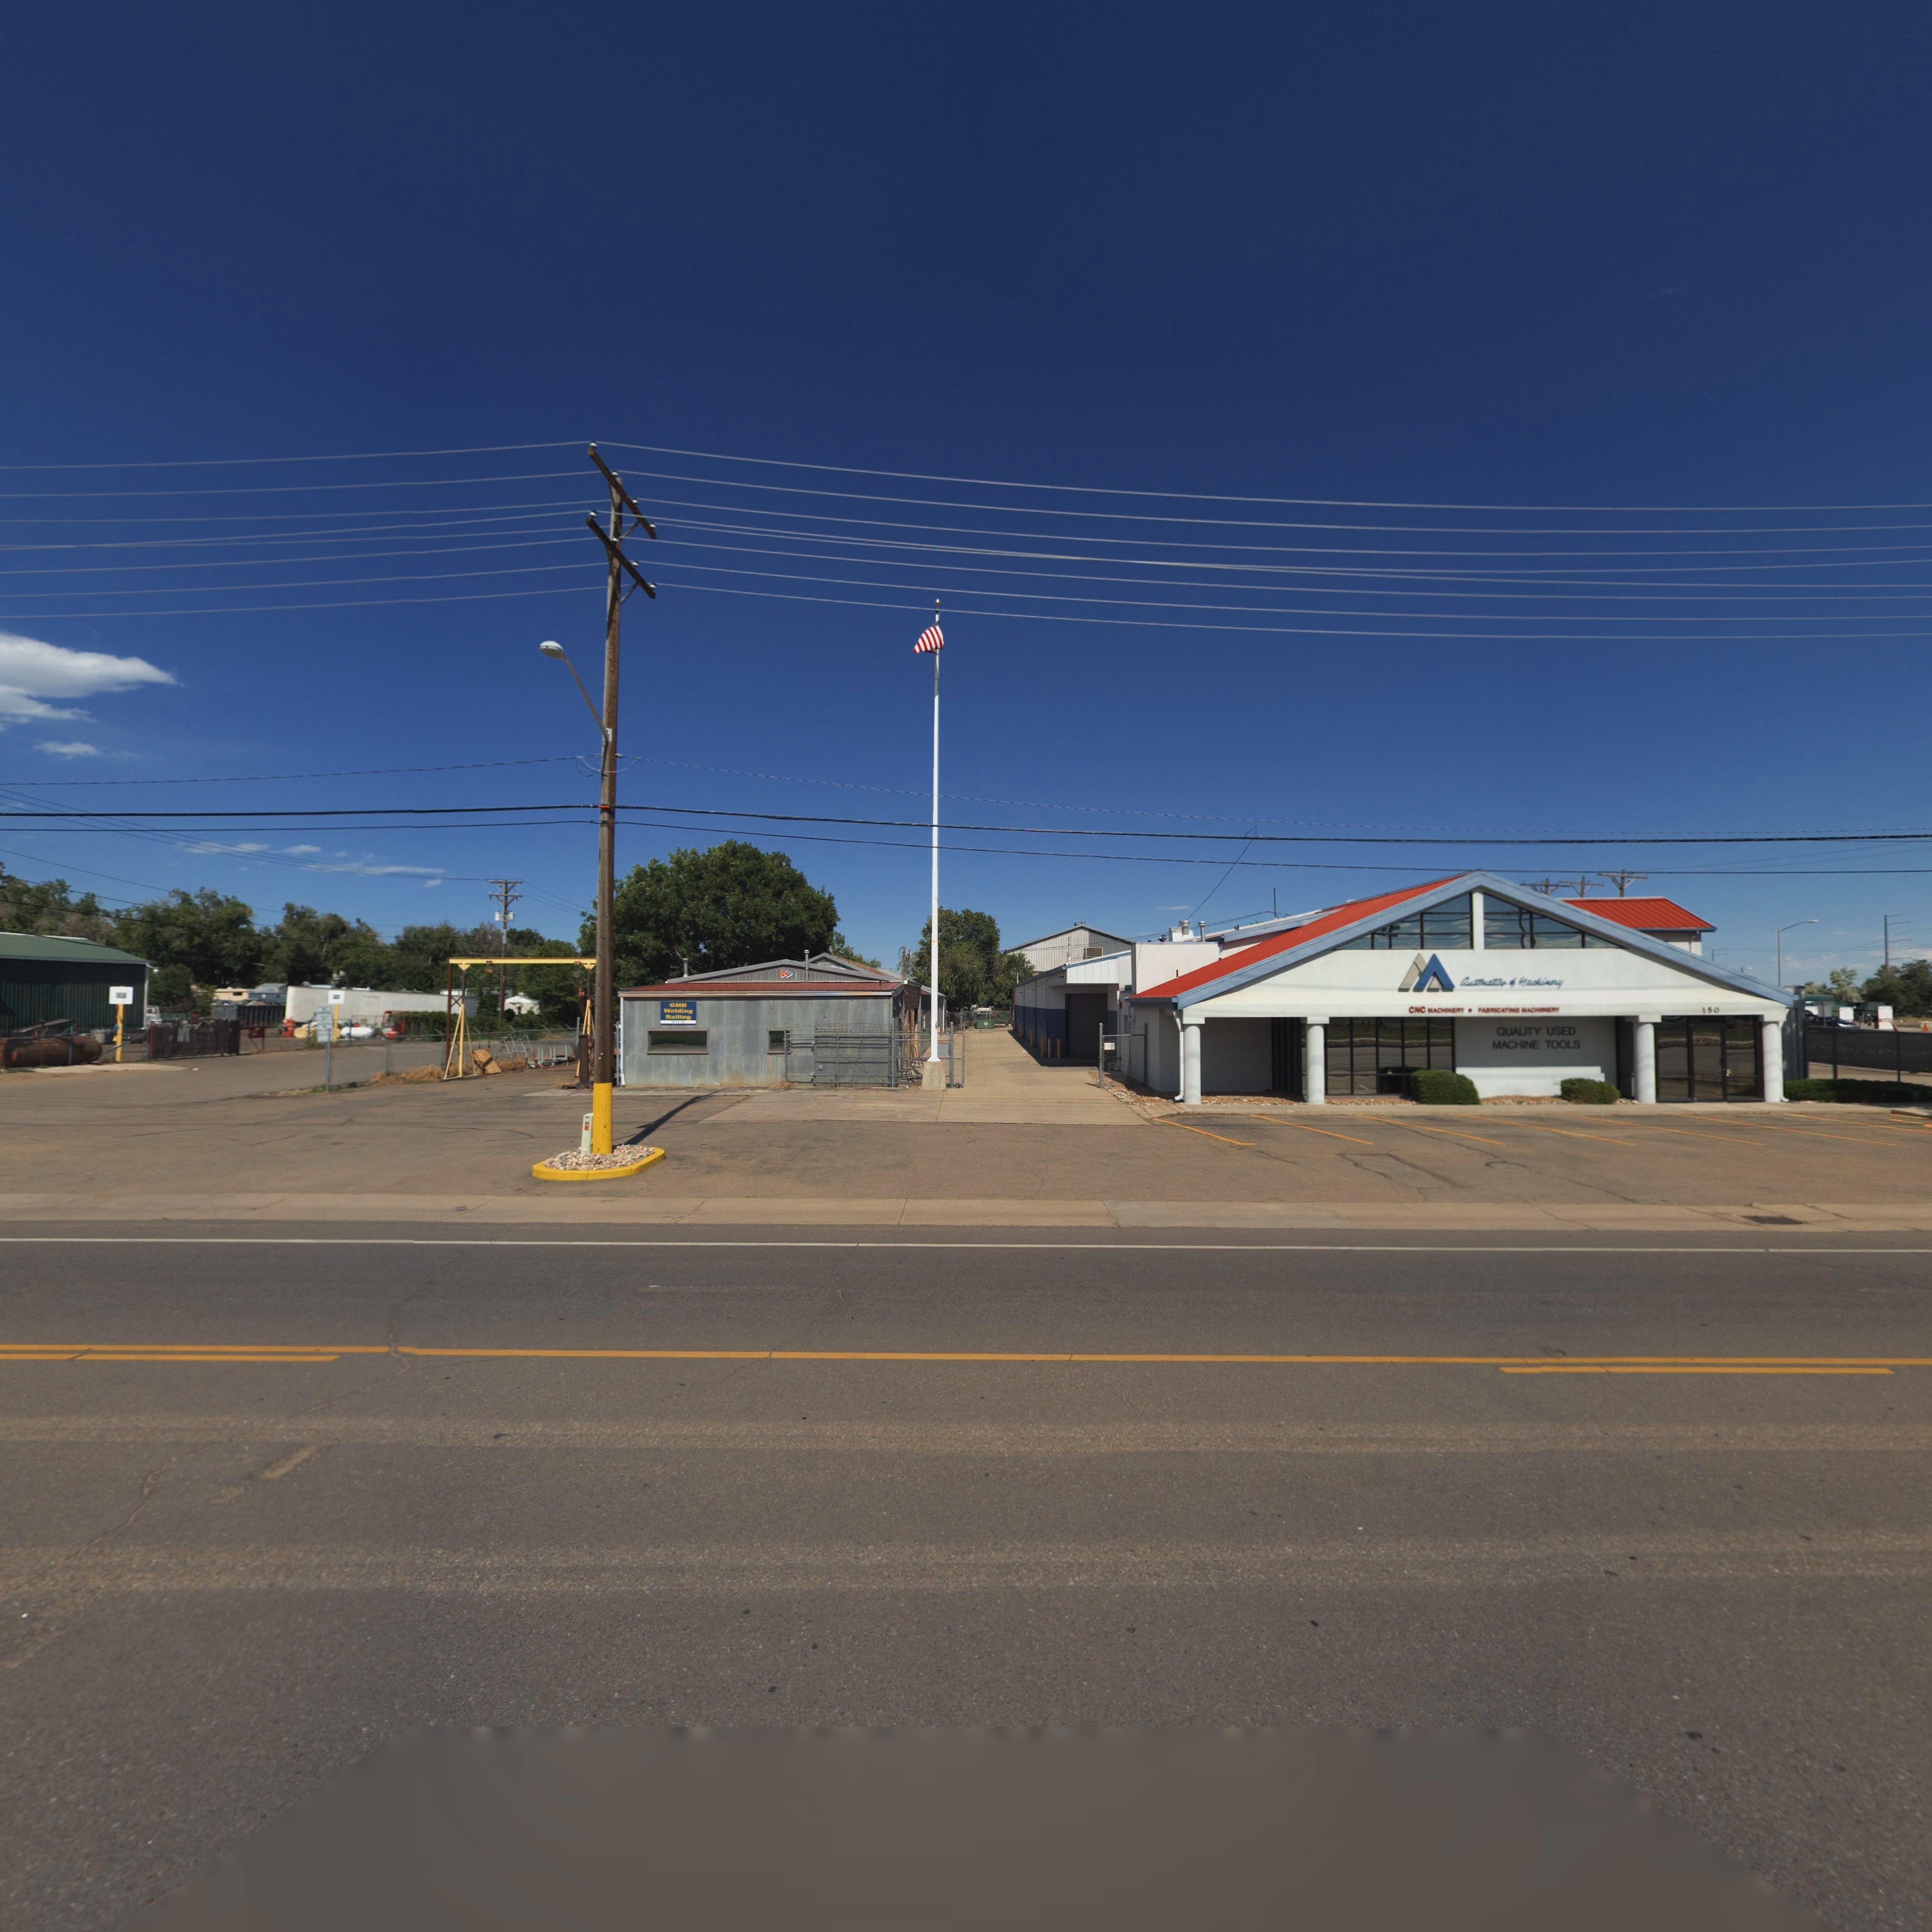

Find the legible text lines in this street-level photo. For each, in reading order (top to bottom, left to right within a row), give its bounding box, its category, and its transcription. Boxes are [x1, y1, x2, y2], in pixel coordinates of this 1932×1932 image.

[1458, 975, 1565, 990] BusinessName: Automatics & Machinery
[669, 1003, 687, 1007] BusinessName: GMB
[663, 1008, 693, 1014] BusinessName: Welding
[1702, 1007, 1719, 1014] StreetNumber: 150
[665, 1014, 691, 1020] BusinessName: Railing